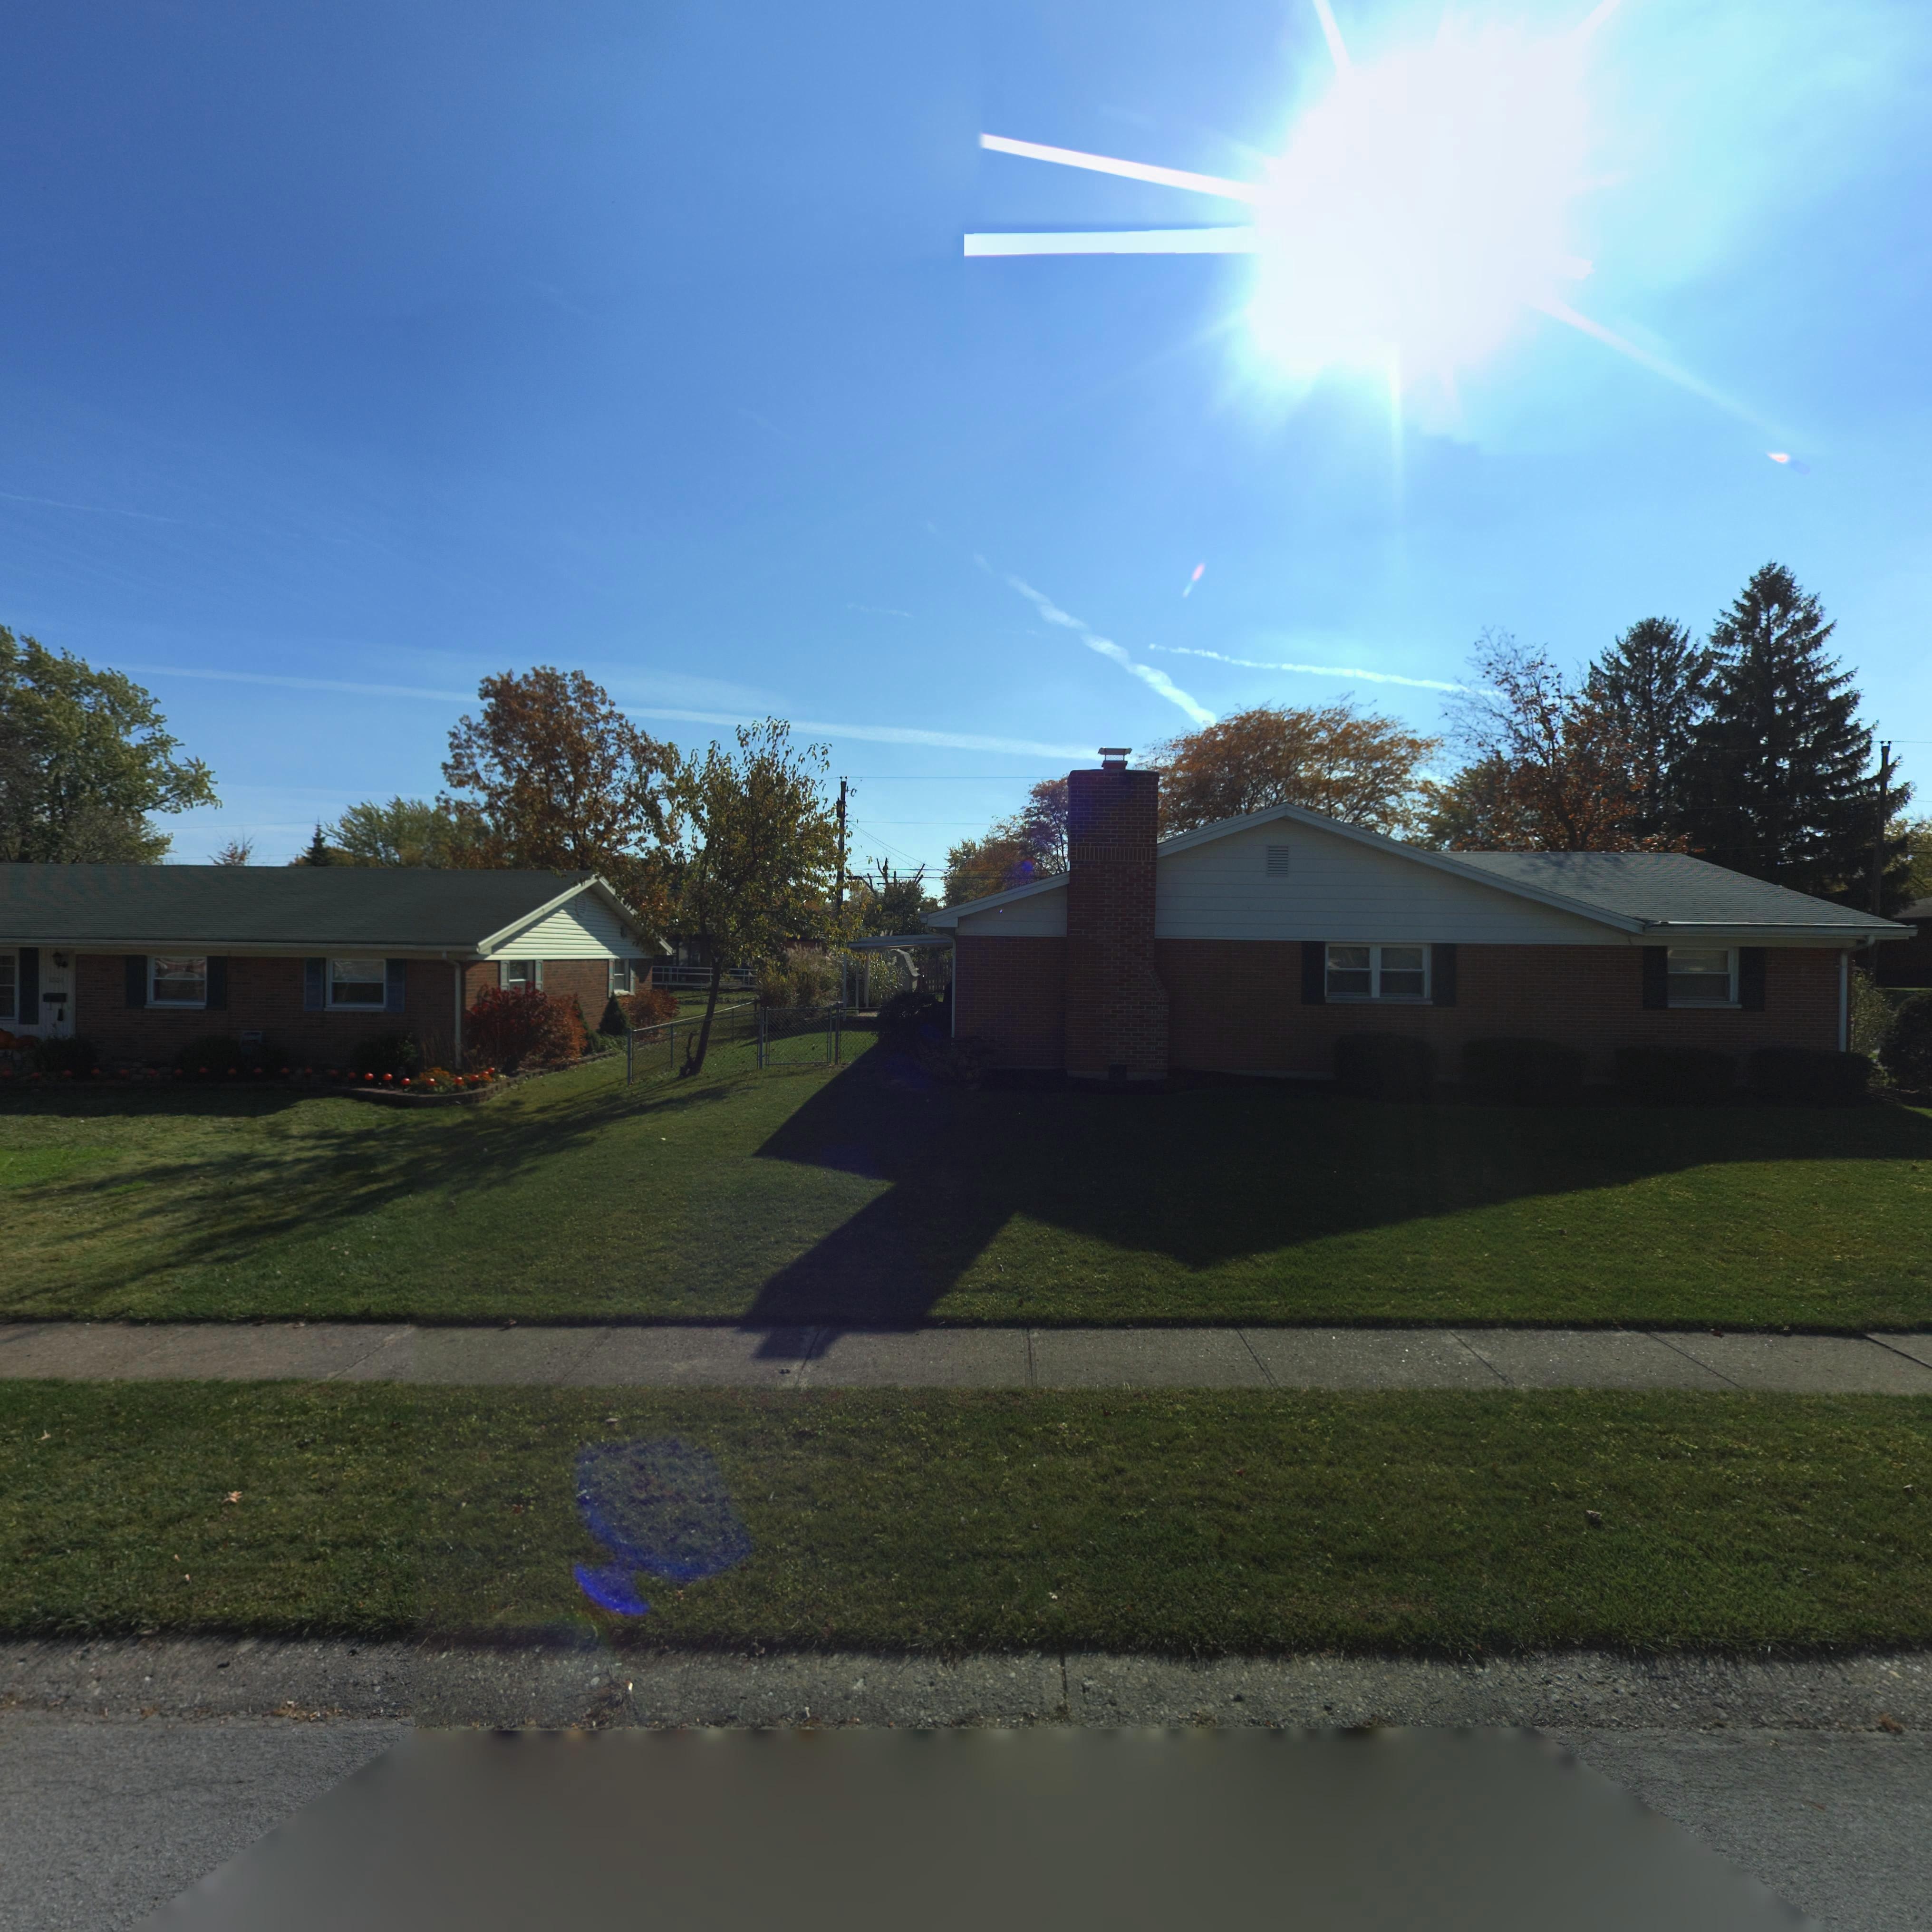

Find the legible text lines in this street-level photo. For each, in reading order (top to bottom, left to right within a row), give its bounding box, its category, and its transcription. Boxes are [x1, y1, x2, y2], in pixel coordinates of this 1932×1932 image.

[48, 976, 64, 983] StreetNumber: 10**